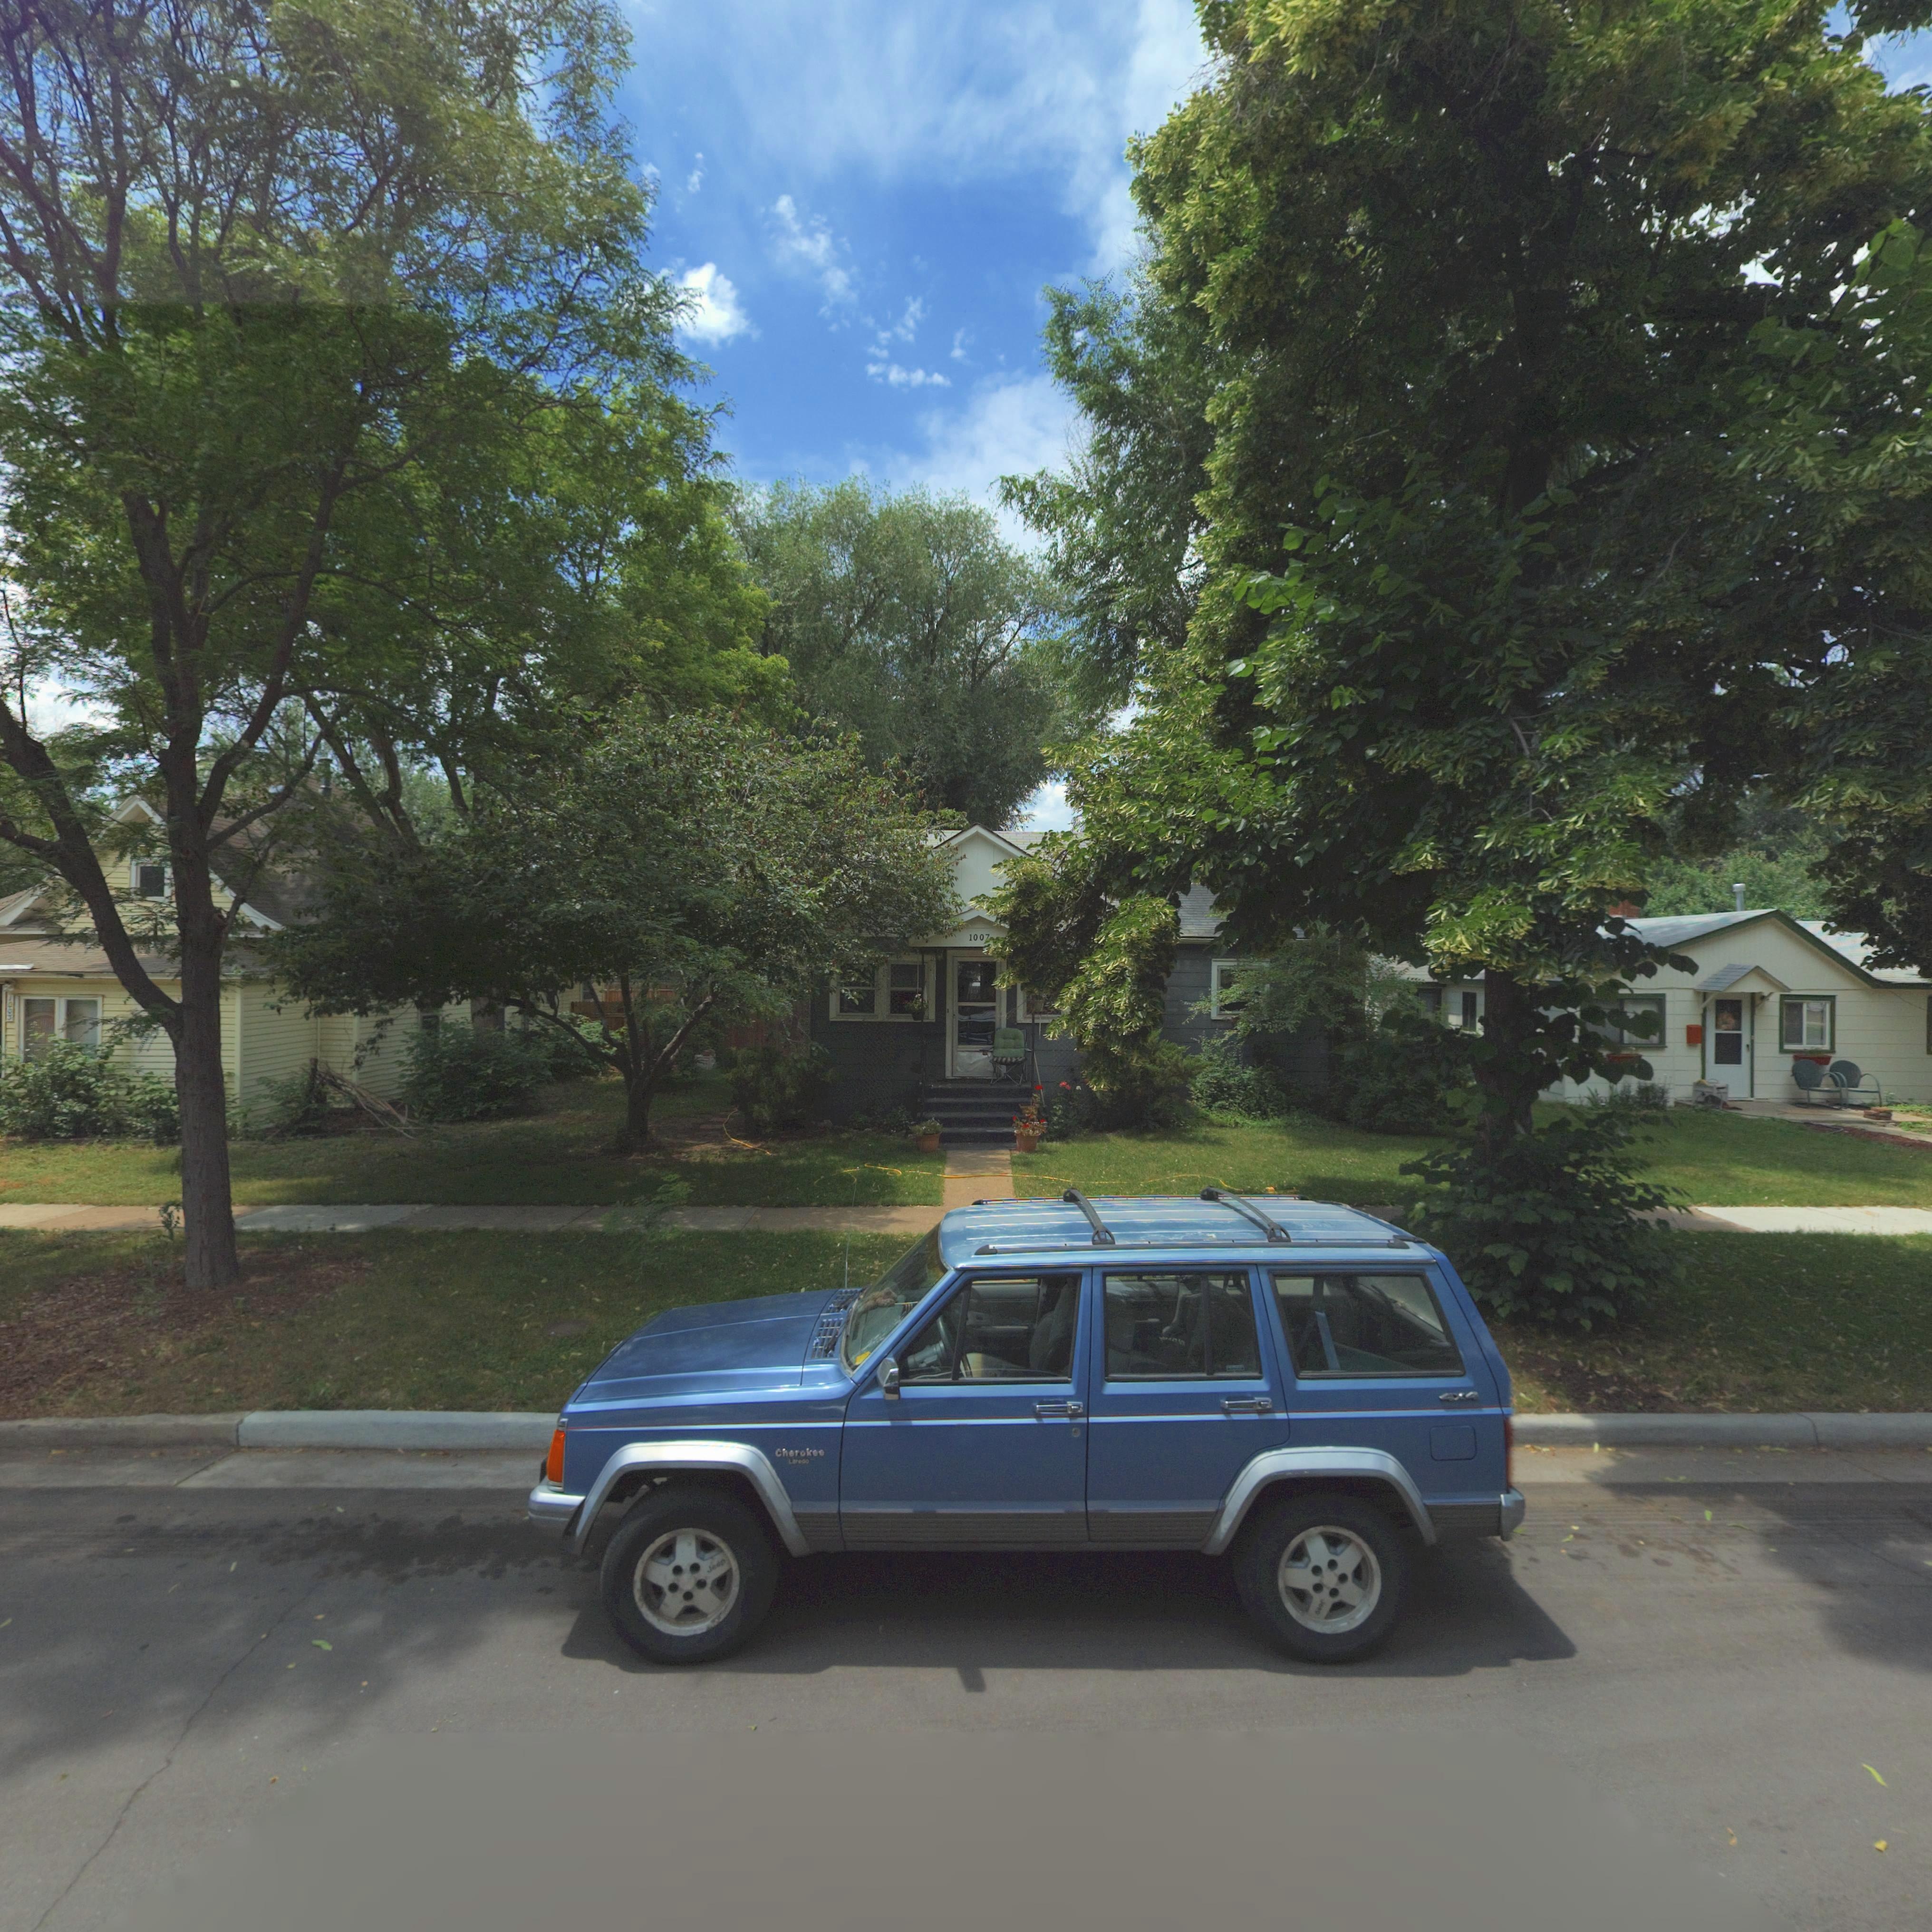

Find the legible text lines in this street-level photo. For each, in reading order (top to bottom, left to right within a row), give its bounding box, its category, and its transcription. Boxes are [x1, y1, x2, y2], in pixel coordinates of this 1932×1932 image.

[968, 933, 990, 941] StreetNumber: 1007
[7, 995, 13, 1021] StreetNumber: 1003